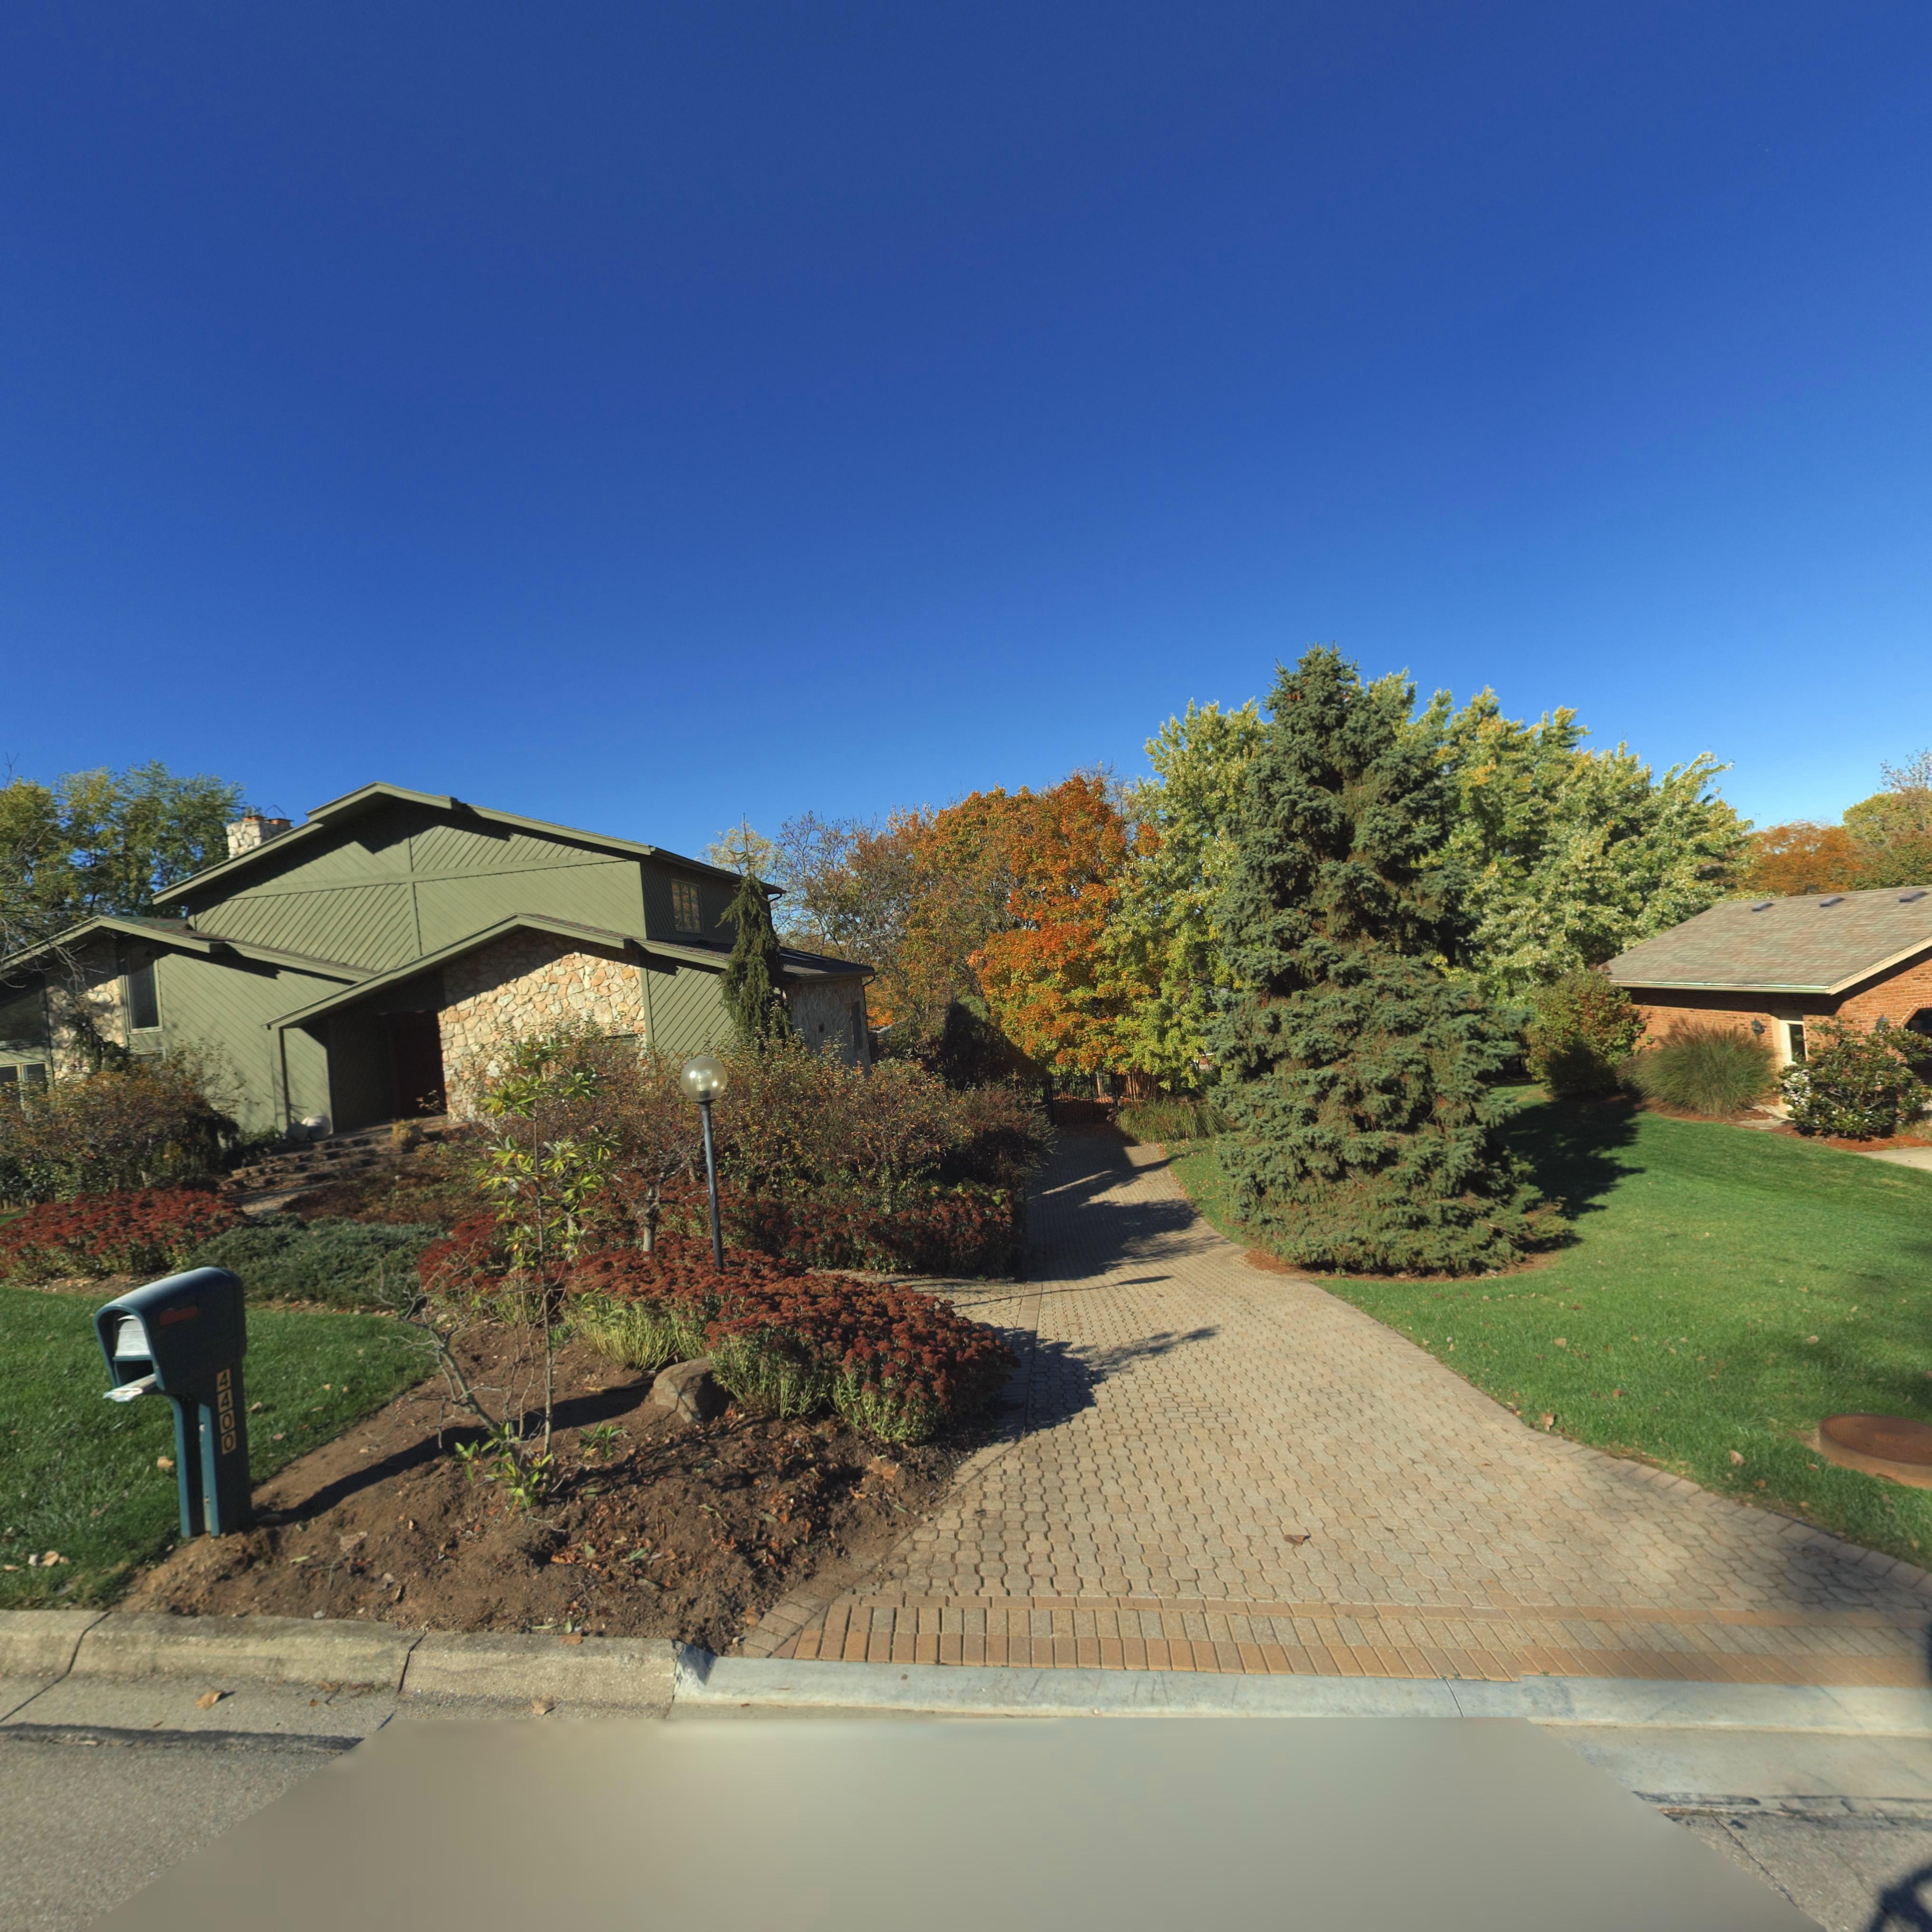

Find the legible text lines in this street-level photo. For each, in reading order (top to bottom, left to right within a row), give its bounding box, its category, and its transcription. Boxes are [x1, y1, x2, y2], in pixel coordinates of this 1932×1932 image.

[217, 1369, 236, 1454] StreetNumber: 4400